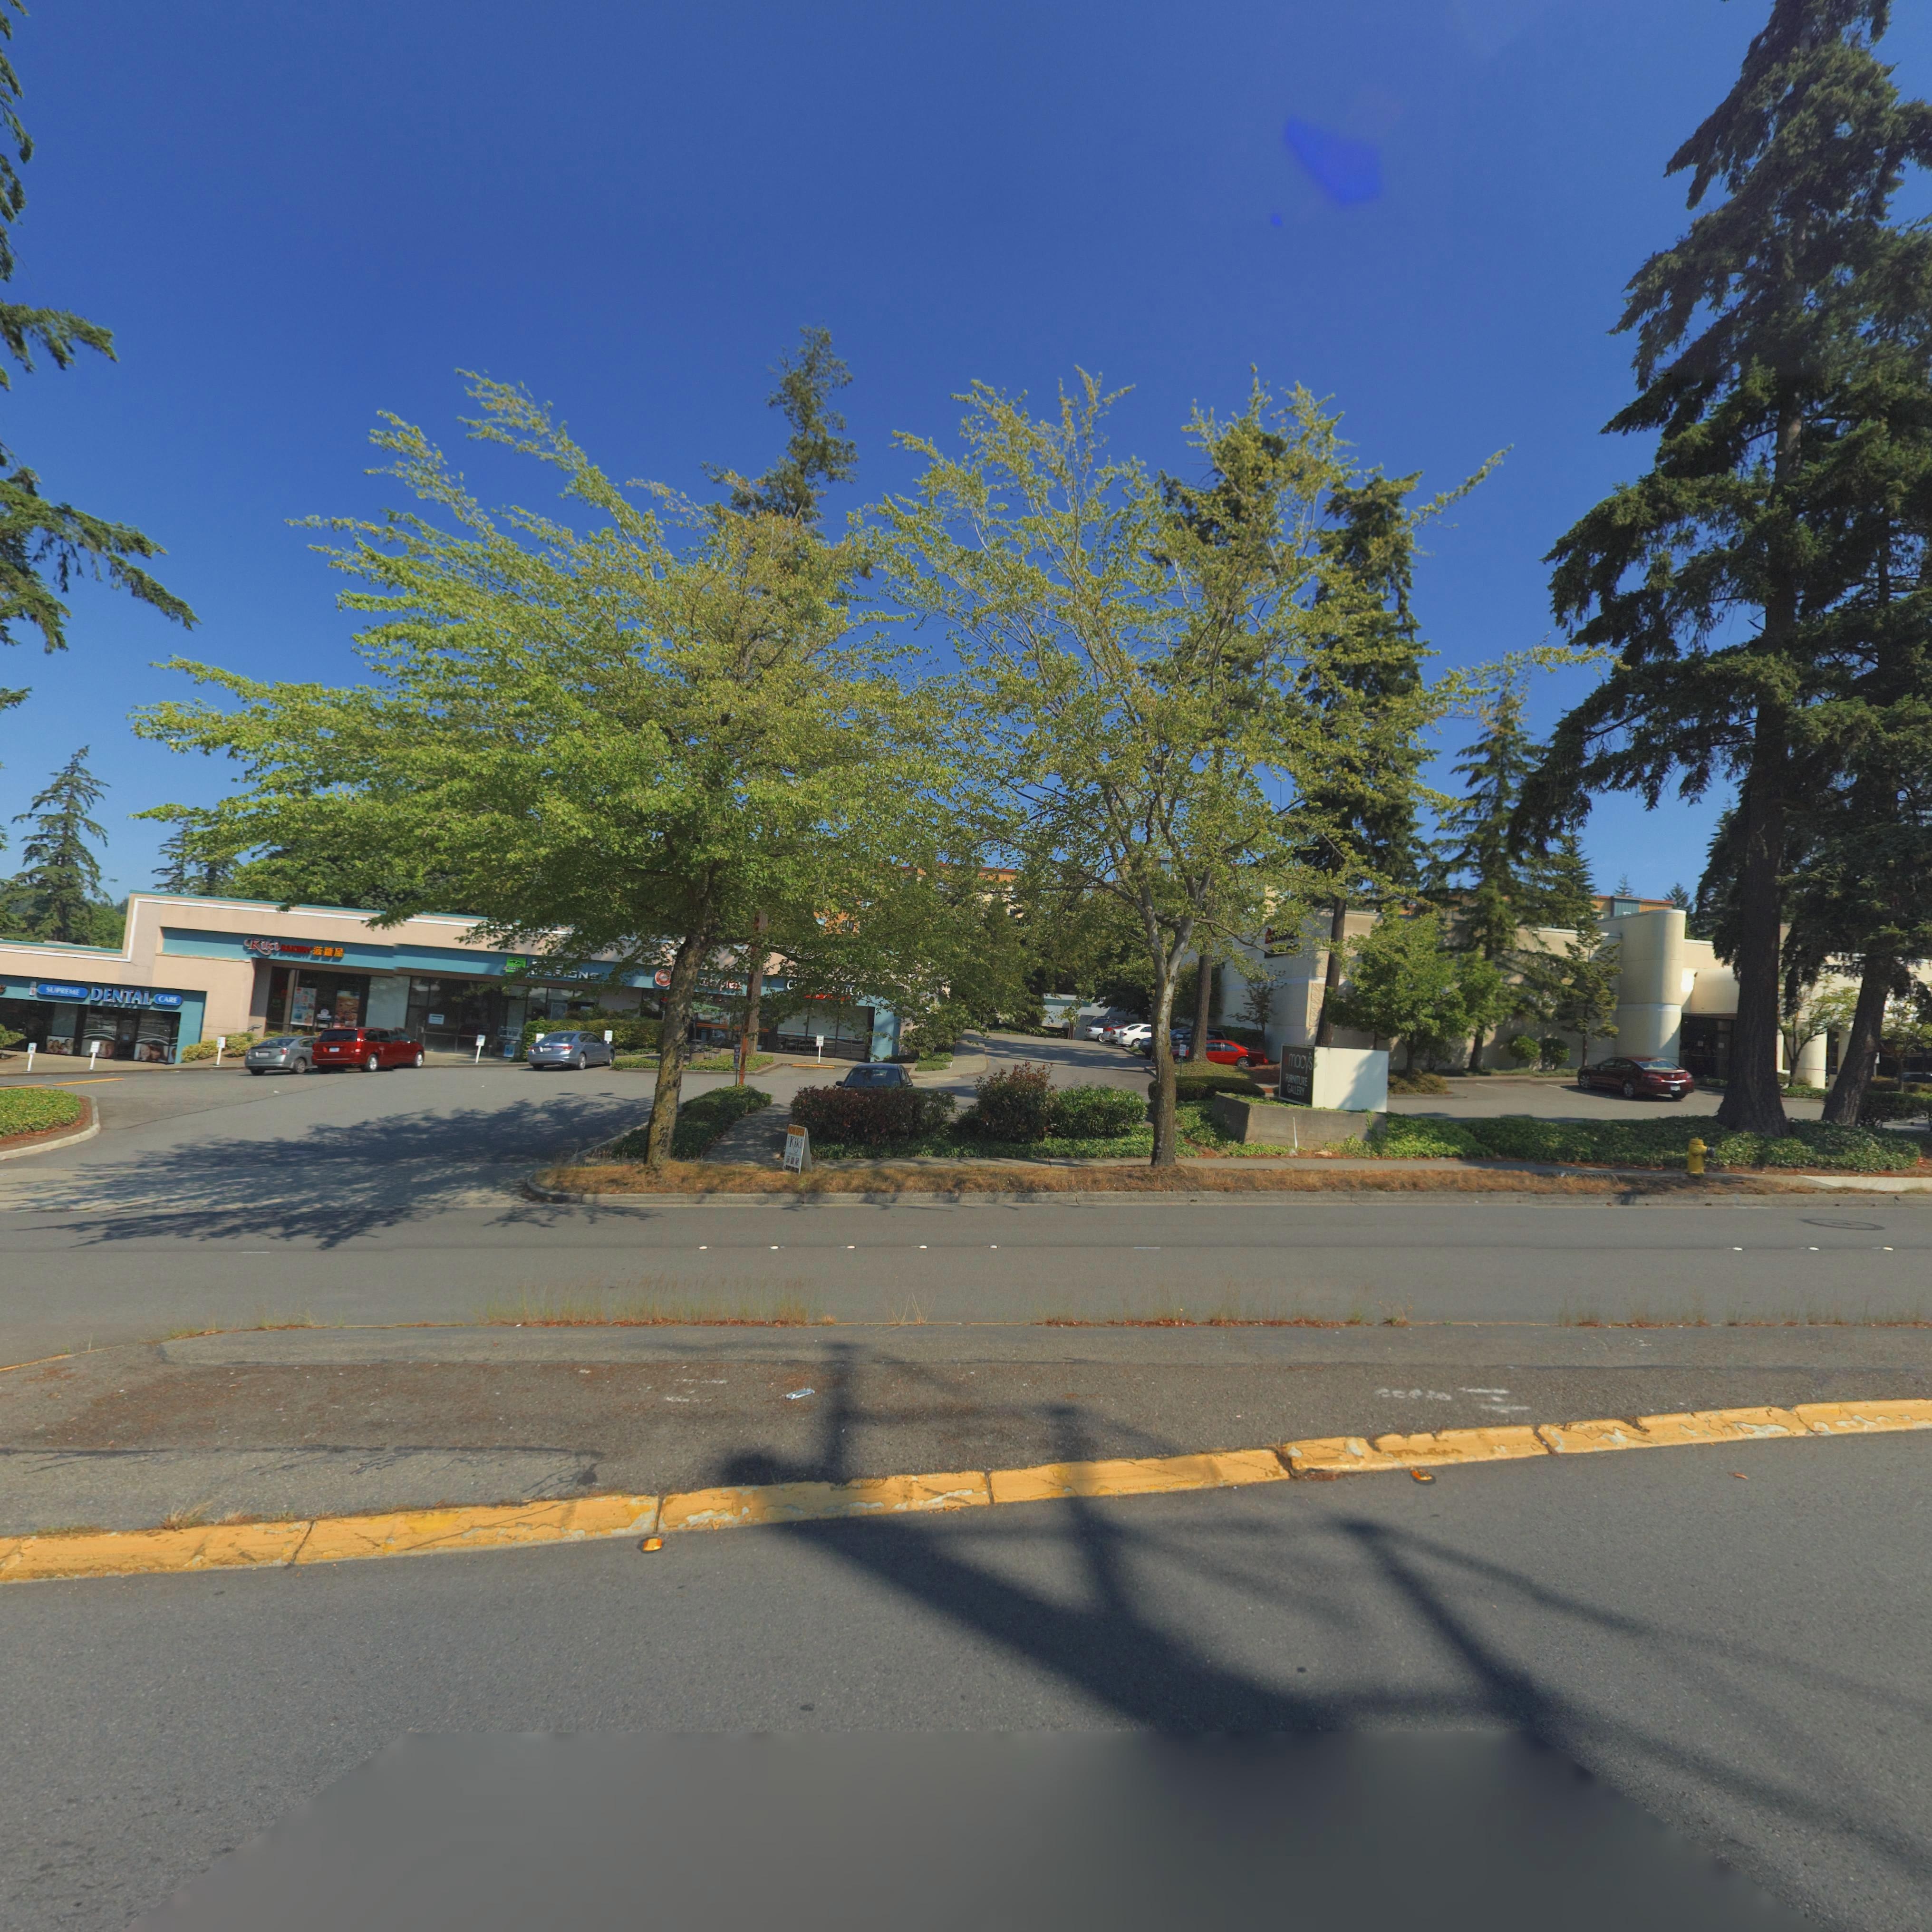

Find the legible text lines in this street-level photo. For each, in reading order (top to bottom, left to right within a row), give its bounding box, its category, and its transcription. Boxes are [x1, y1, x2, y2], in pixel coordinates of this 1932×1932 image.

[241, 935, 281, 956] BusinessName: Kiki
[88, 985, 154, 1006] None: DENTAL
[1286, 1048, 1314, 1076] BusinessName: macy's
[1281, 1082, 1306, 1097] BusinessName: GALLERY
[1284, 1072, 1310, 1089] BusinessName: FURNITURE